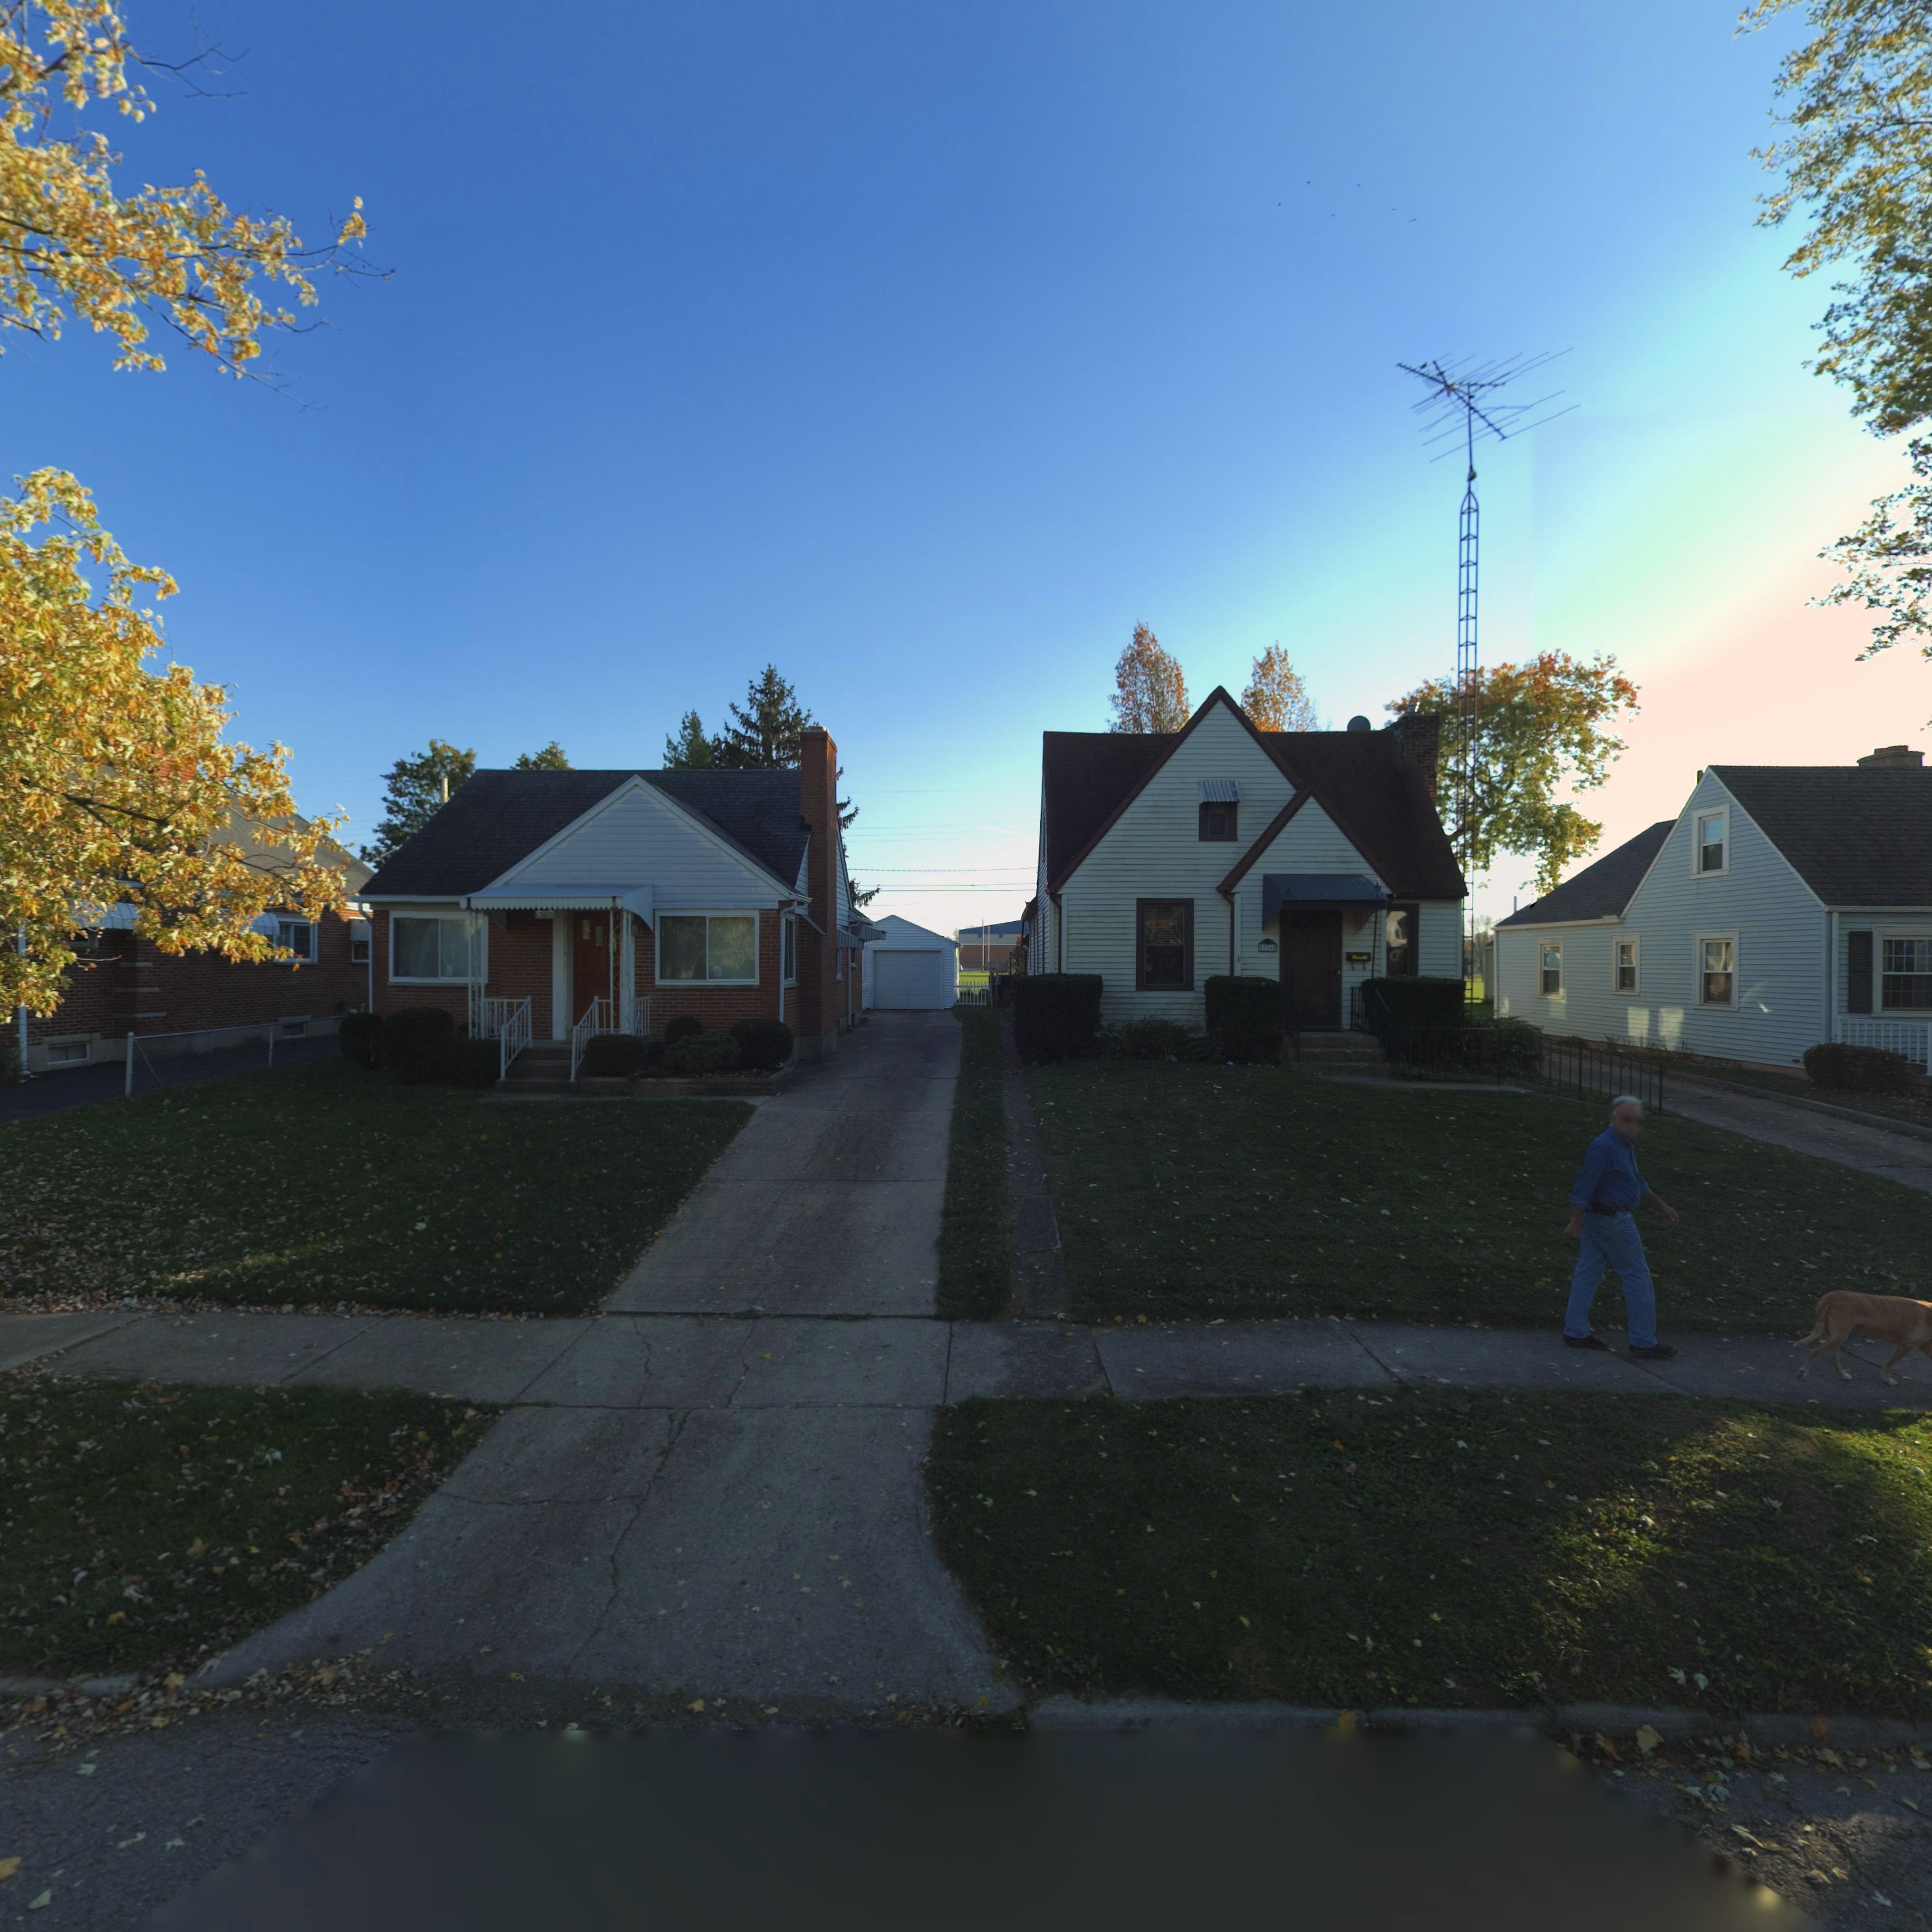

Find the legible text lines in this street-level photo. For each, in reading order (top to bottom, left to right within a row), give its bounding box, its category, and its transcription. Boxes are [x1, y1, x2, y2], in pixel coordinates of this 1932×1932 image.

[538, 911, 552, 918] StreetNumber: 3*0
[1263, 945, 1272, 951] StreetNumber: 33*